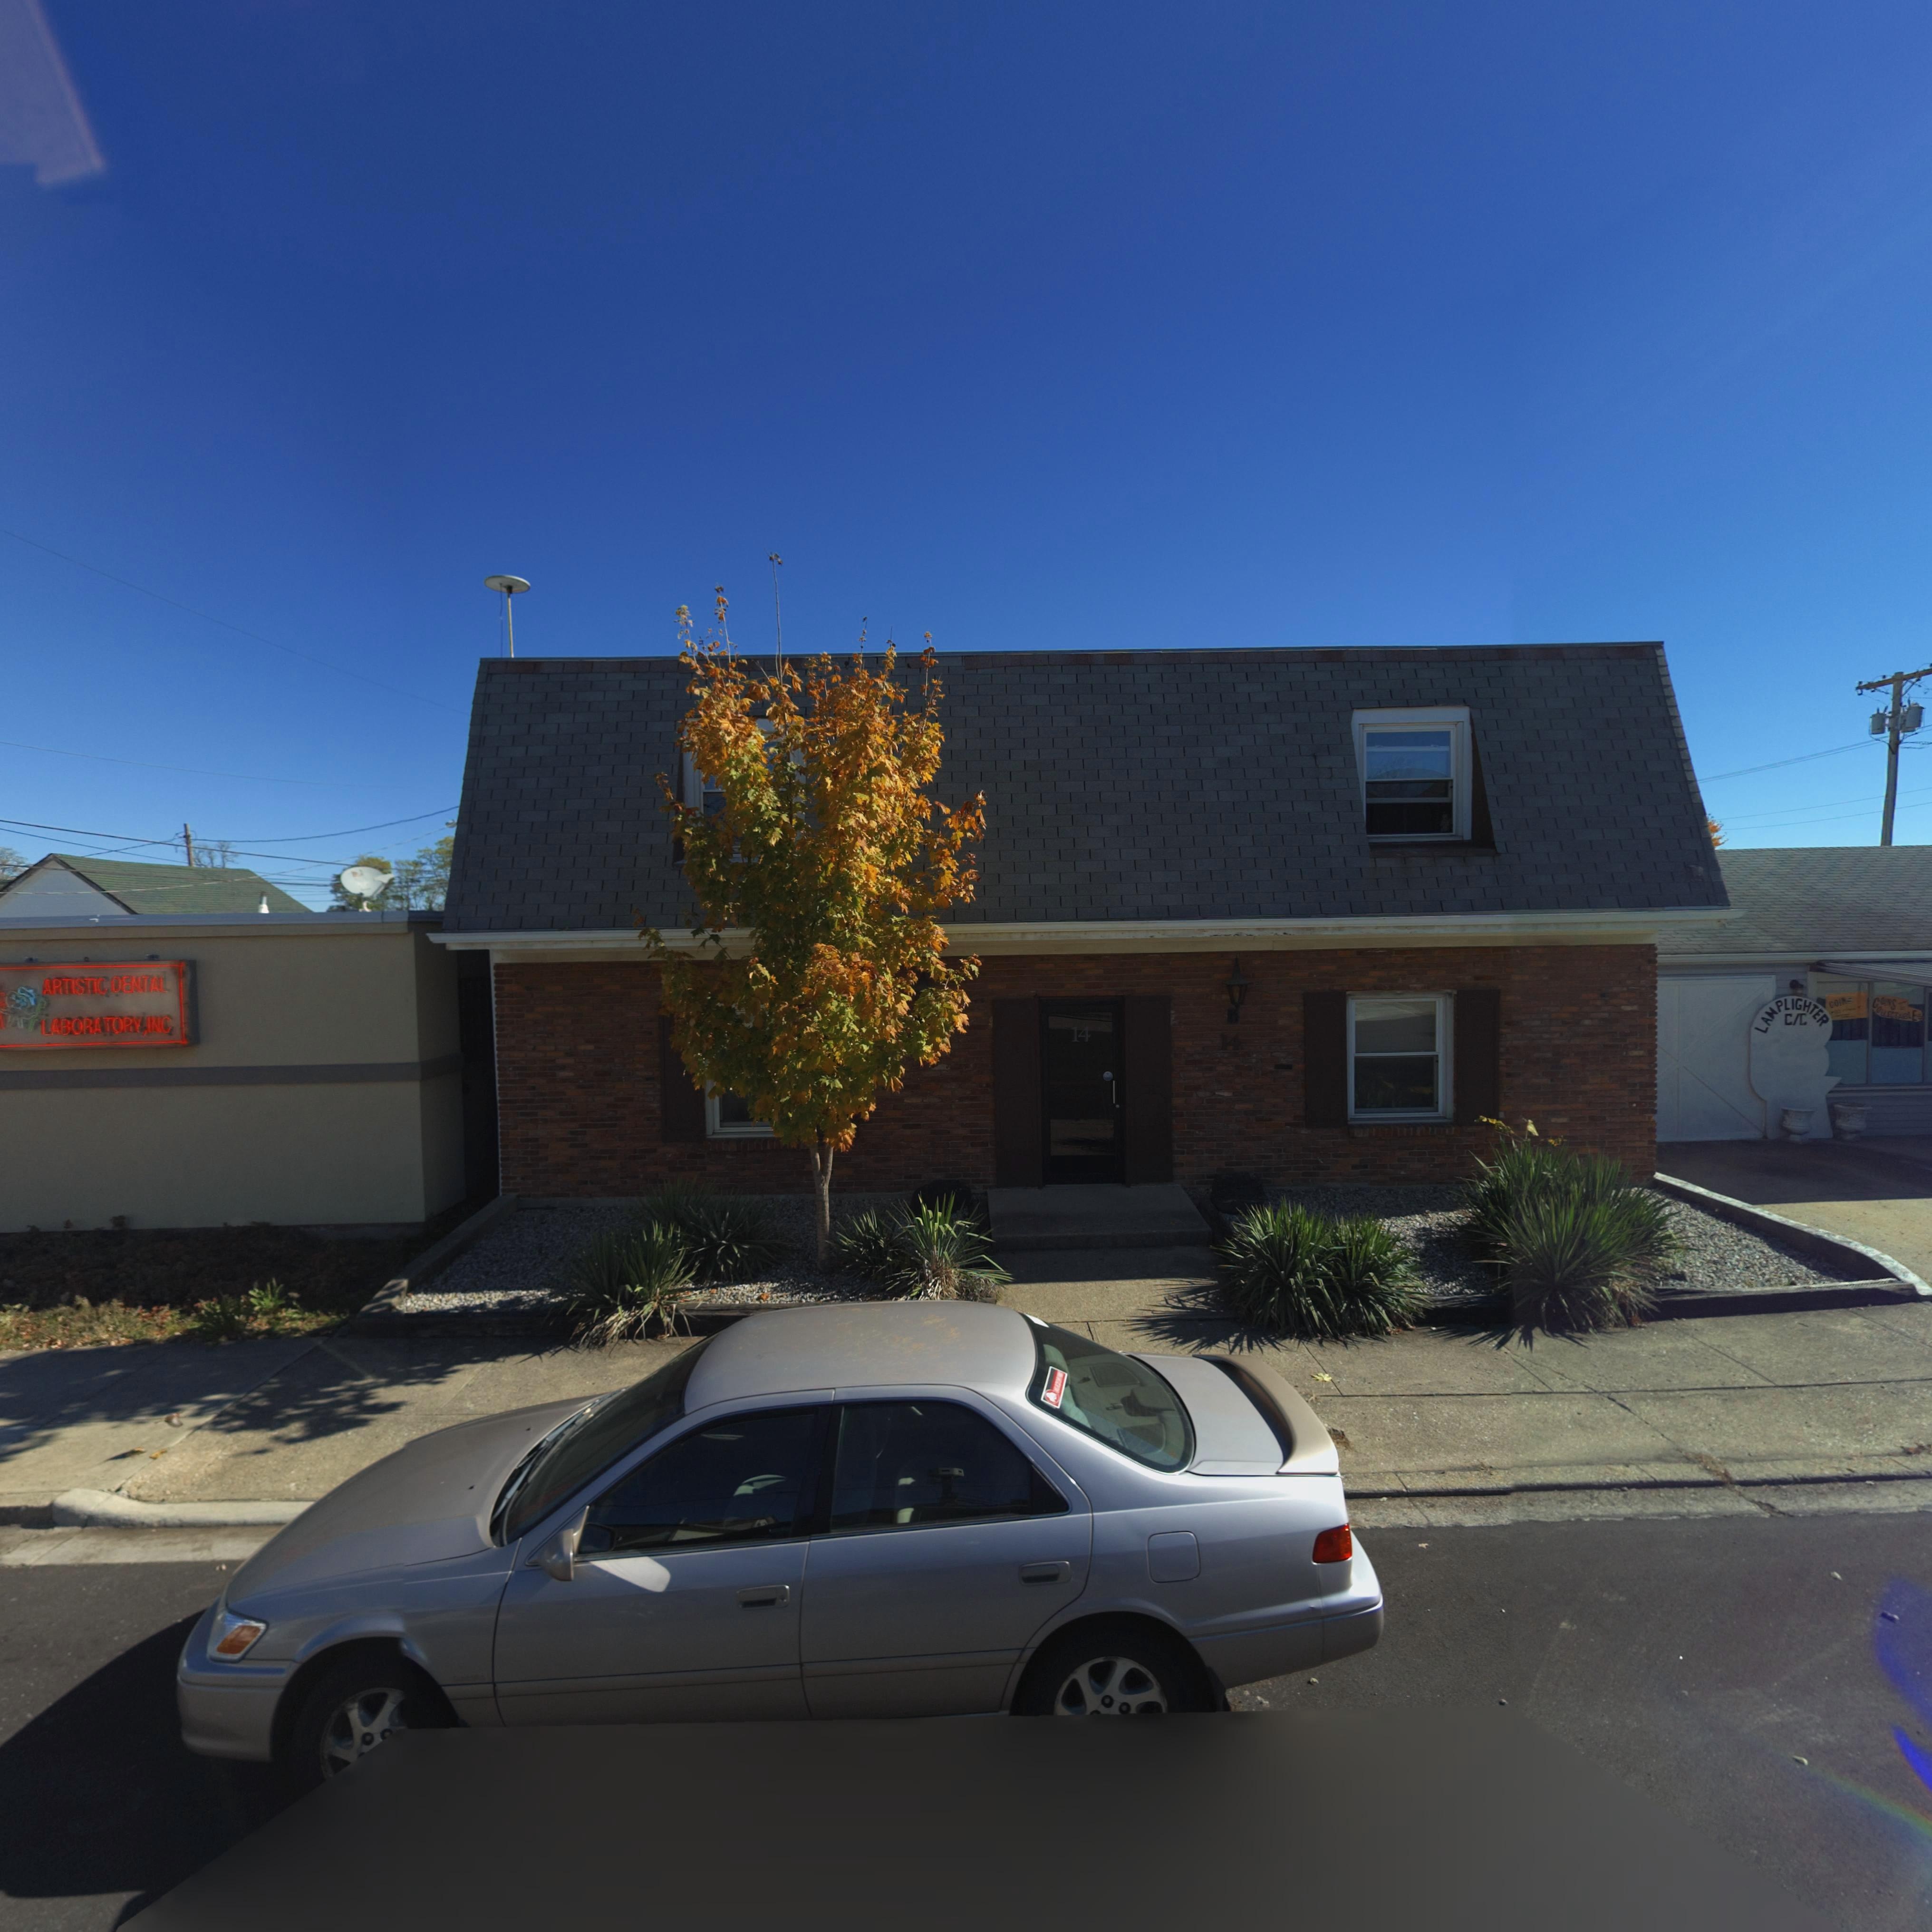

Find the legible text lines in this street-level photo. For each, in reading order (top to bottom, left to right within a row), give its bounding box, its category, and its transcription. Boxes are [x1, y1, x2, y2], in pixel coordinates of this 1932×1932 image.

[40, 976, 170, 996] BusinessName: ARTISTIC DENTAL
[1828, 996, 1848, 1009] None: COIN
[40, 1014, 173, 1037] BusinessName: LABORATORY, INC
[1071, 1026, 1091, 1042] StreetNumber: 14
[1219, 1034, 1242, 1051] StreetNumber: 14
[1753, 997, 1832, 1035] None: LAMPLIGHTER
[1784, 1013, 1808, 1026] None: C/C